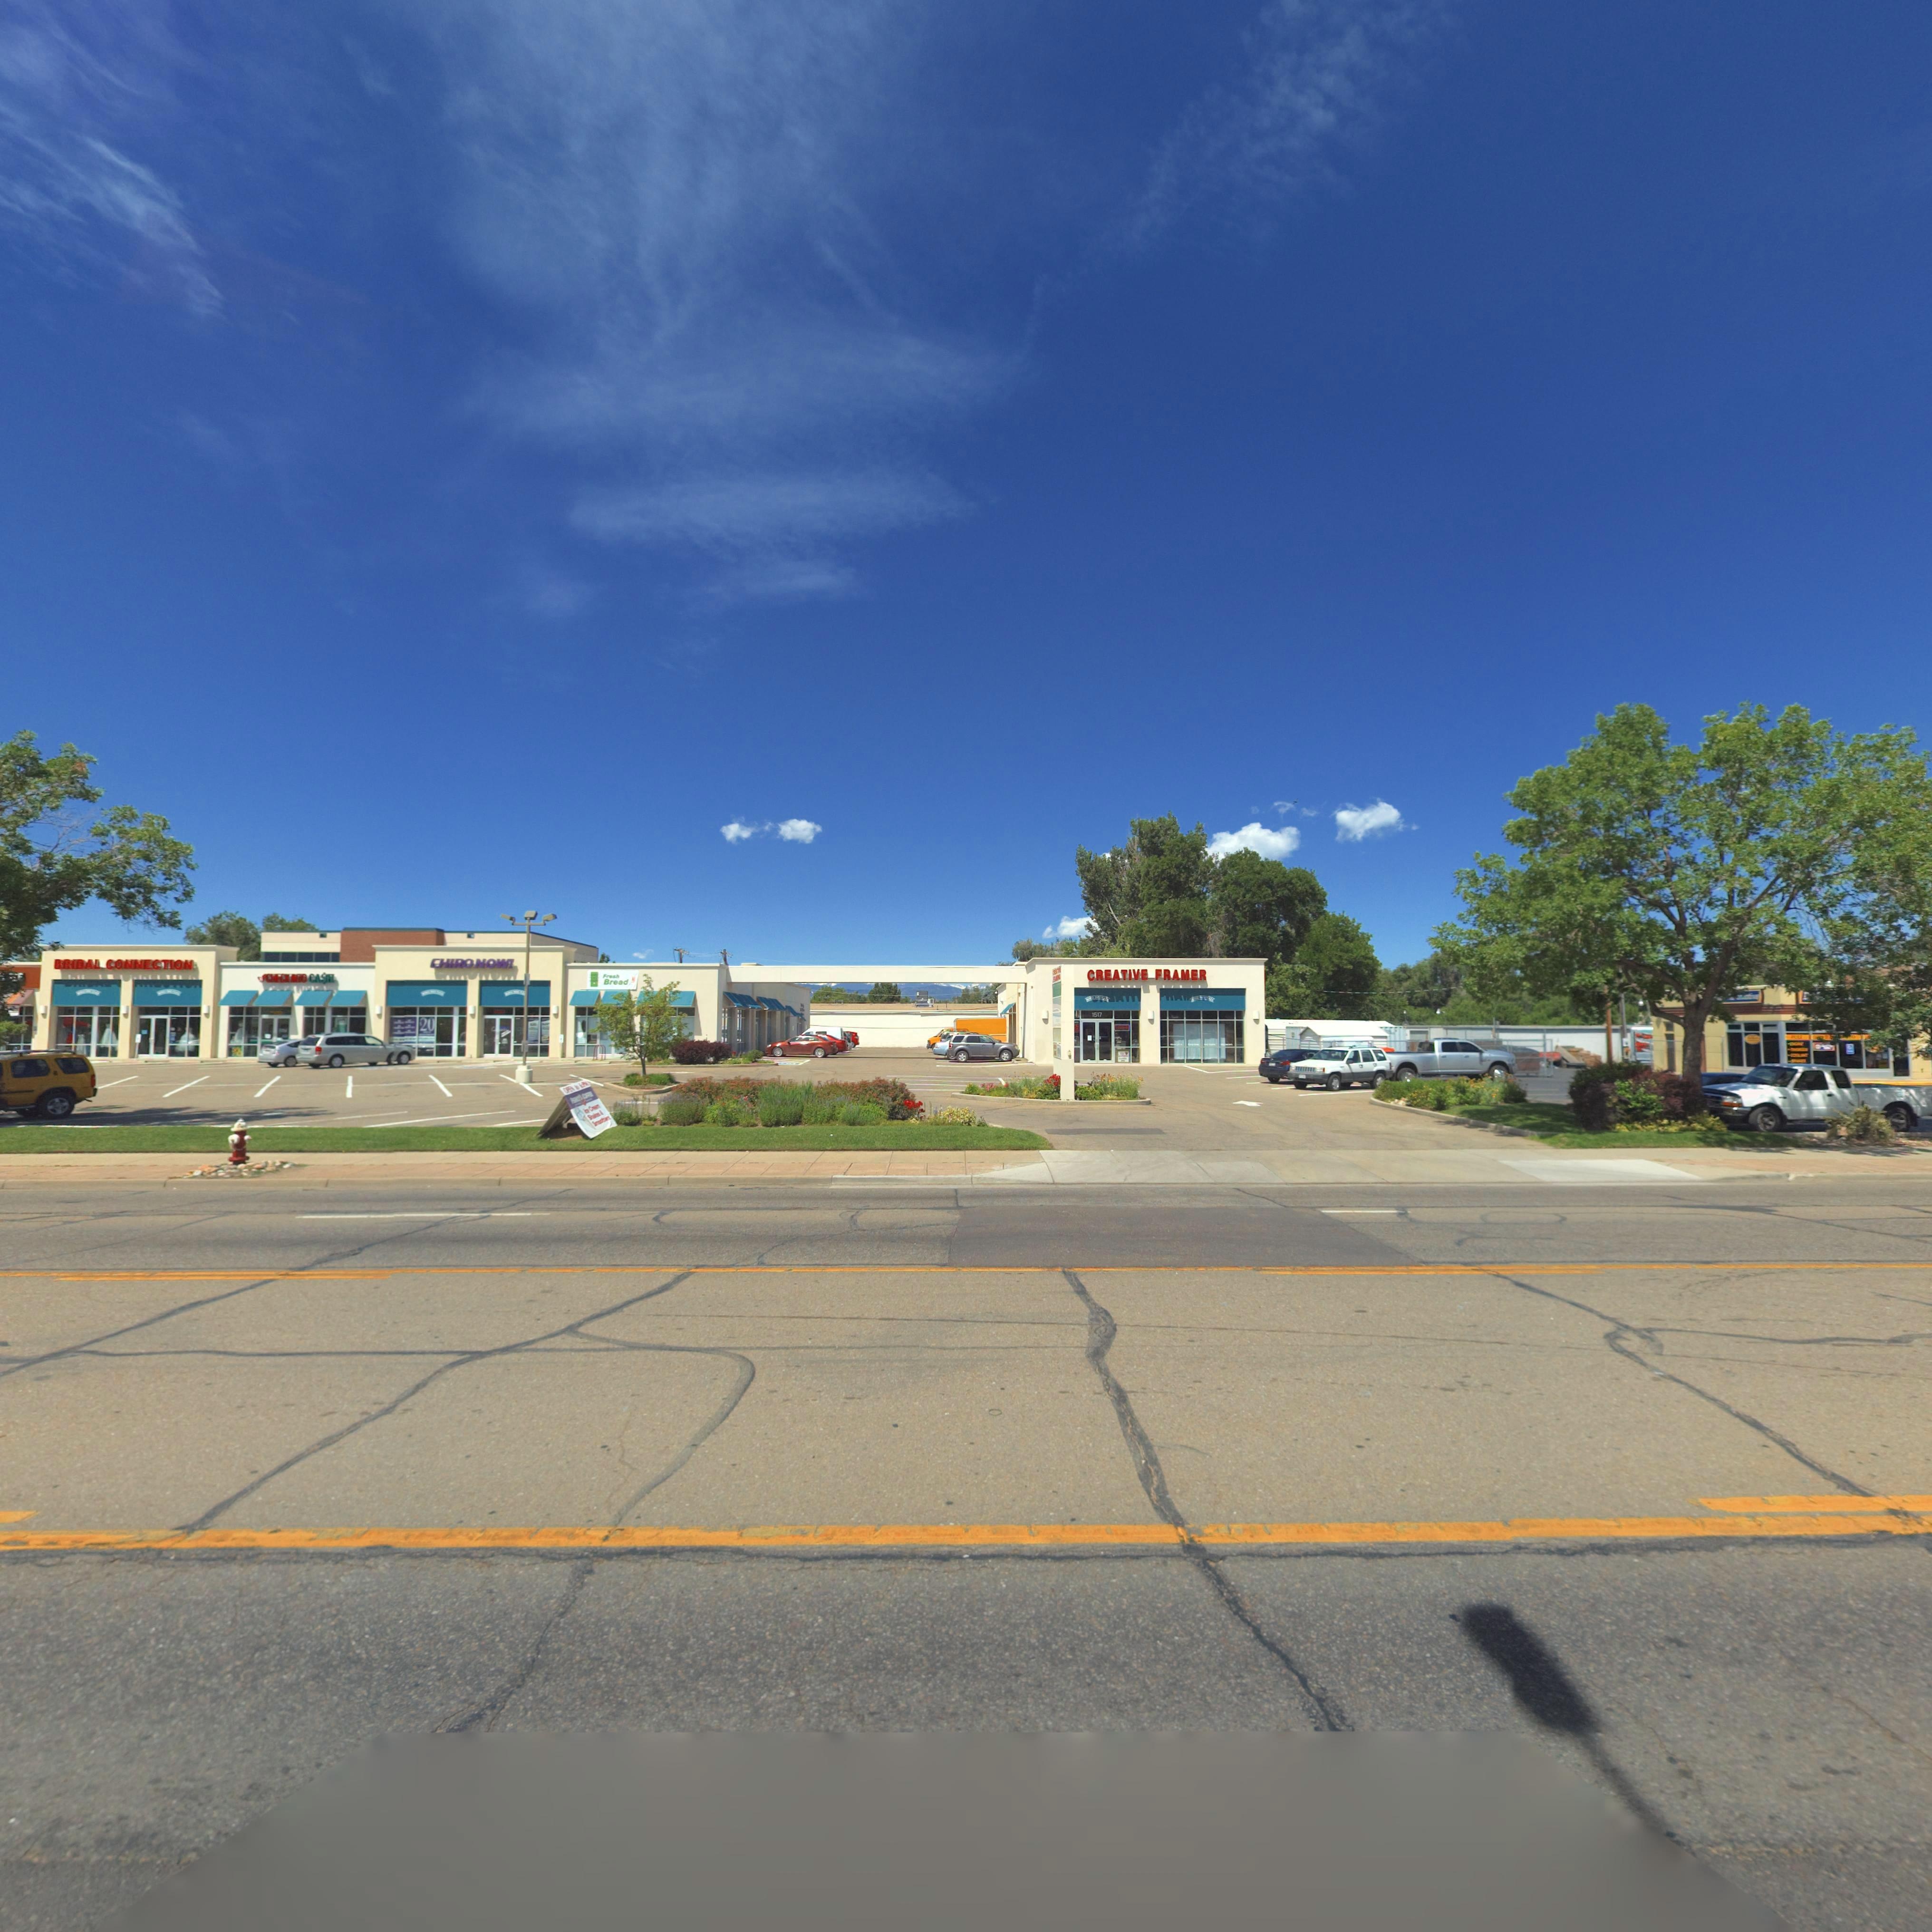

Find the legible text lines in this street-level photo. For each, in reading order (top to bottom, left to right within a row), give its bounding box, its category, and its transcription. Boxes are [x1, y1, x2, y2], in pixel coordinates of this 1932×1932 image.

[53, 958, 194, 970] BusinessName: BRIDAL CONNECTION
[429, 958, 515, 968] BusinessName: CHIRO NOW!
[309, 972, 335, 985] BusinessName: CA*H
[602, 974, 619, 978] BusinessName: Fresh
[603, 978, 628, 985] BusinessName: Bread
[1087, 968, 1207, 981] BusinessName: CREATIVE FRAMER
[1091, 1012, 1102, 1017] StreetNumber: 1517